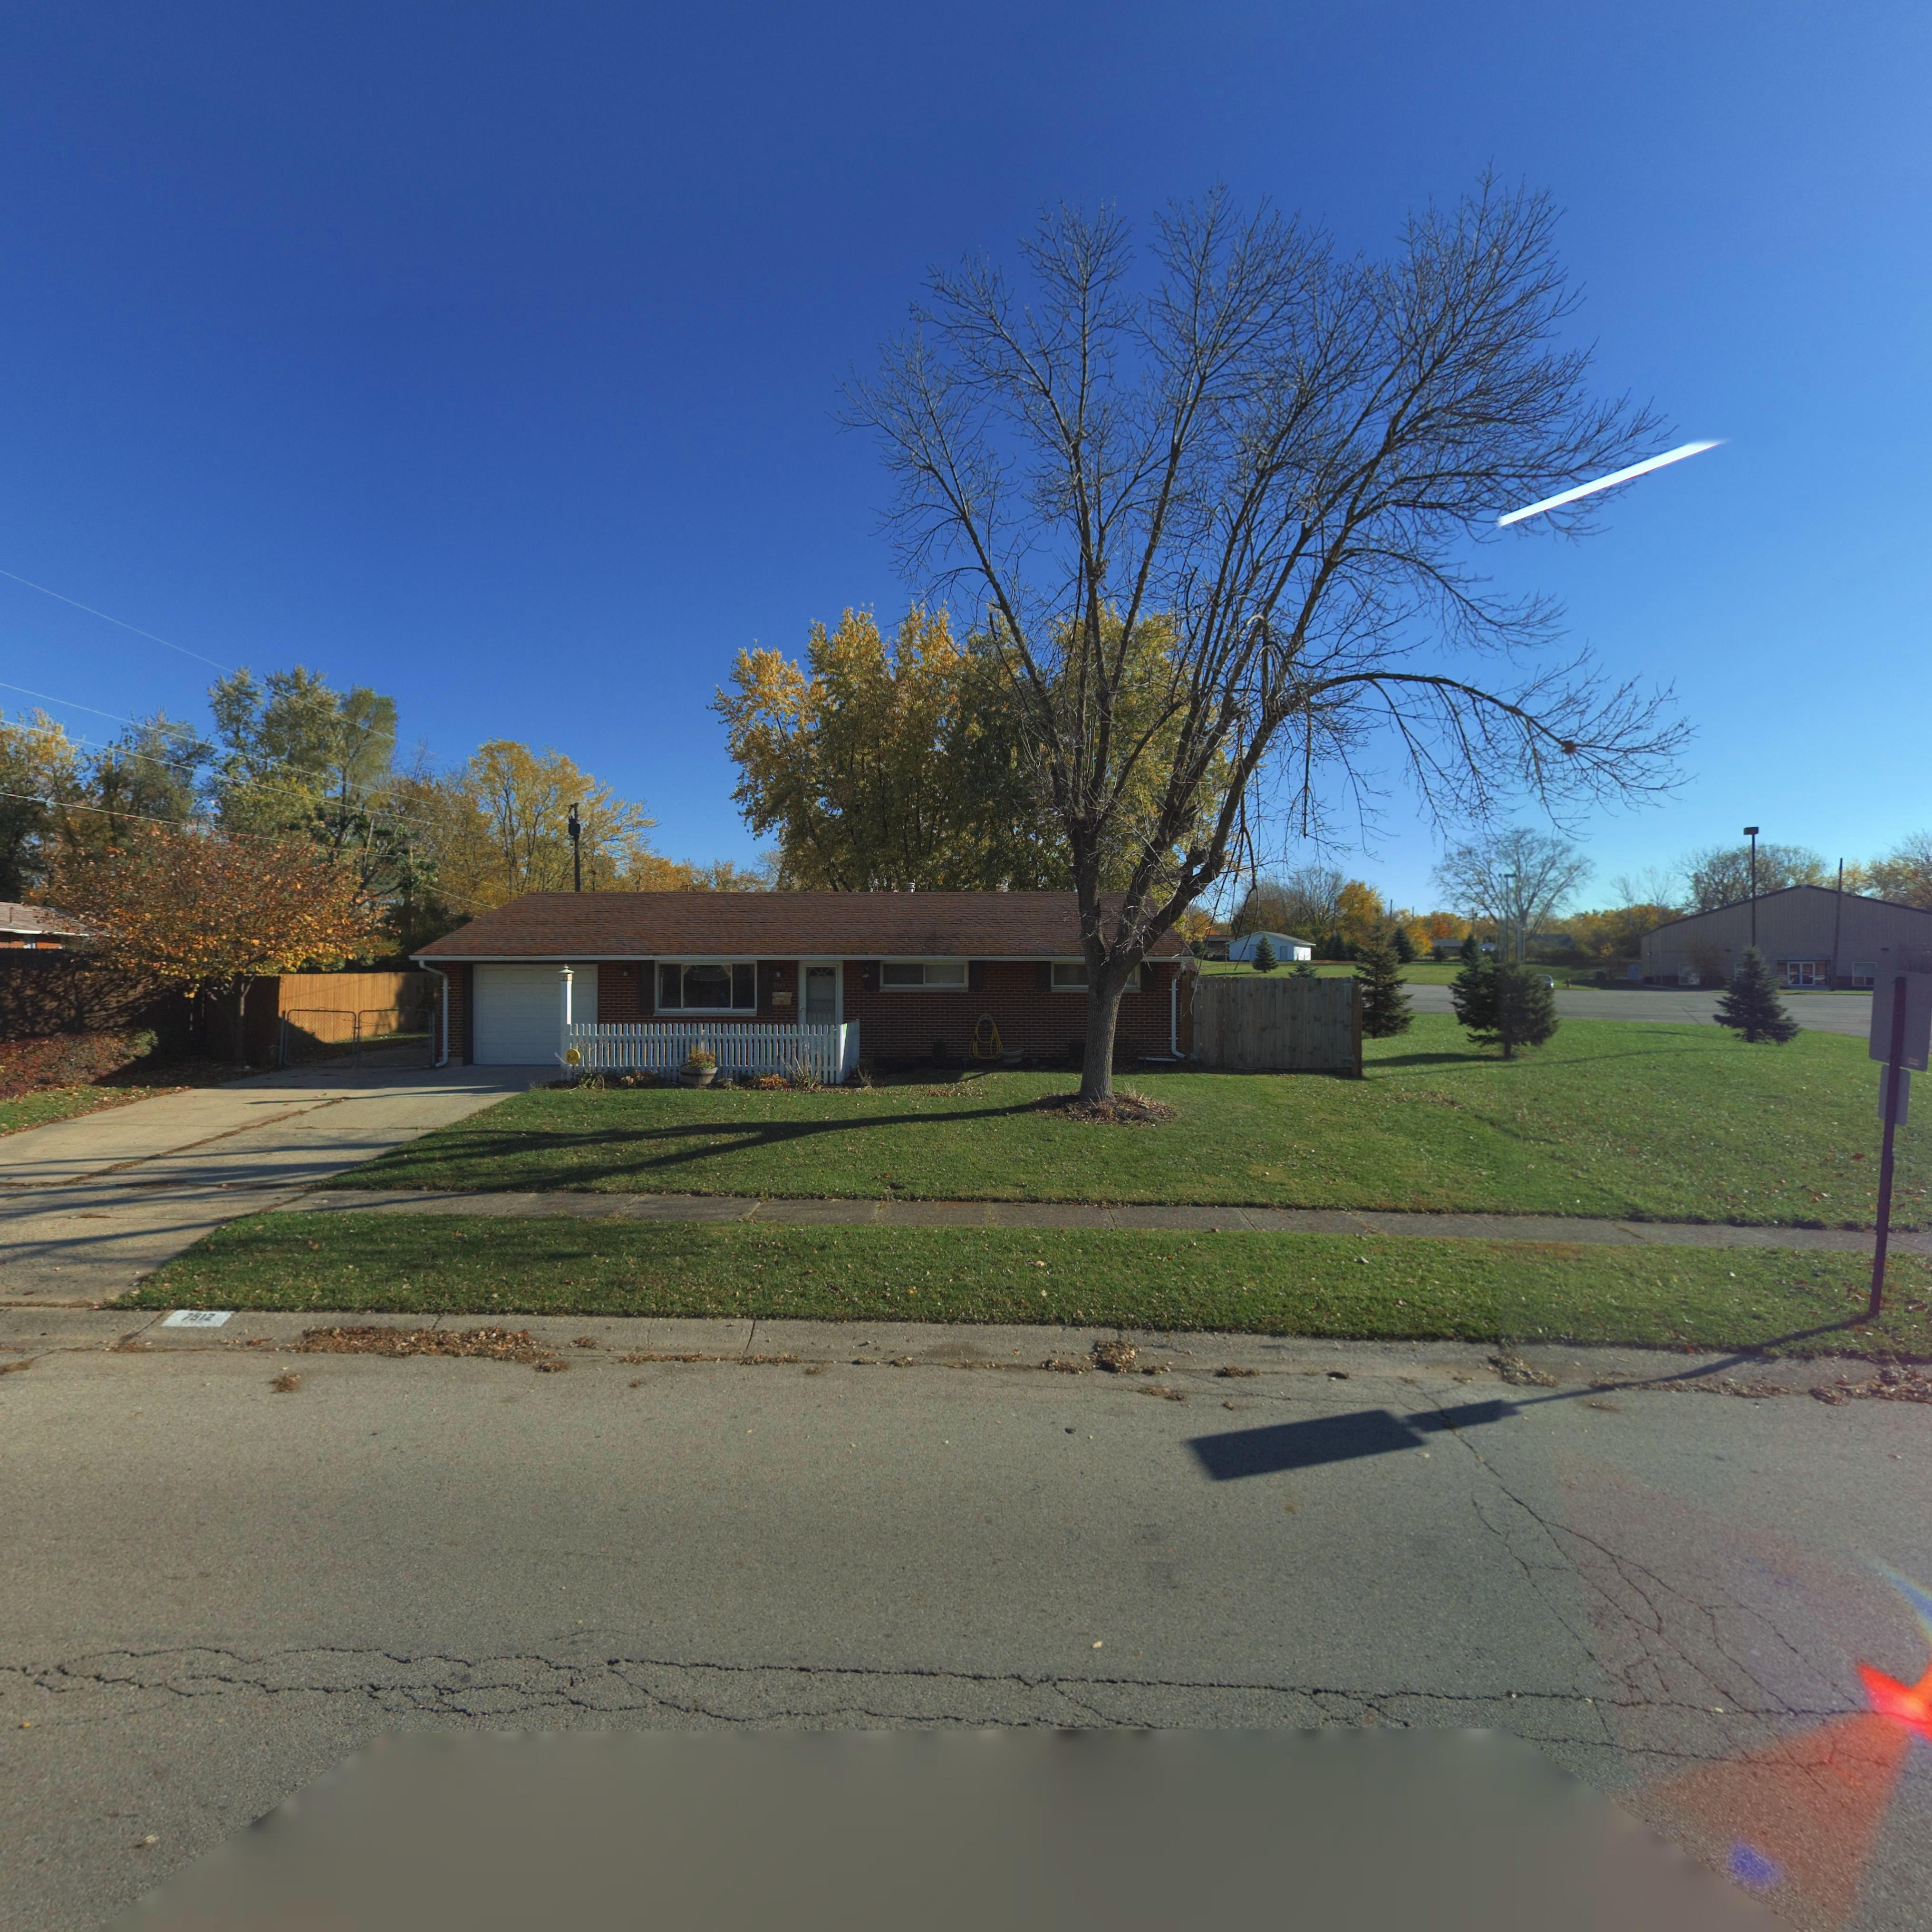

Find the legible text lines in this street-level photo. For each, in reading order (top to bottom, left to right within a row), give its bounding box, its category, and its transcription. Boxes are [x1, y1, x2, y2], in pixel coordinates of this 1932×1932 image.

[773, 982, 786, 988] StreetNumber: 7512
[179, 1312, 217, 1322] StreetNumber: 7512